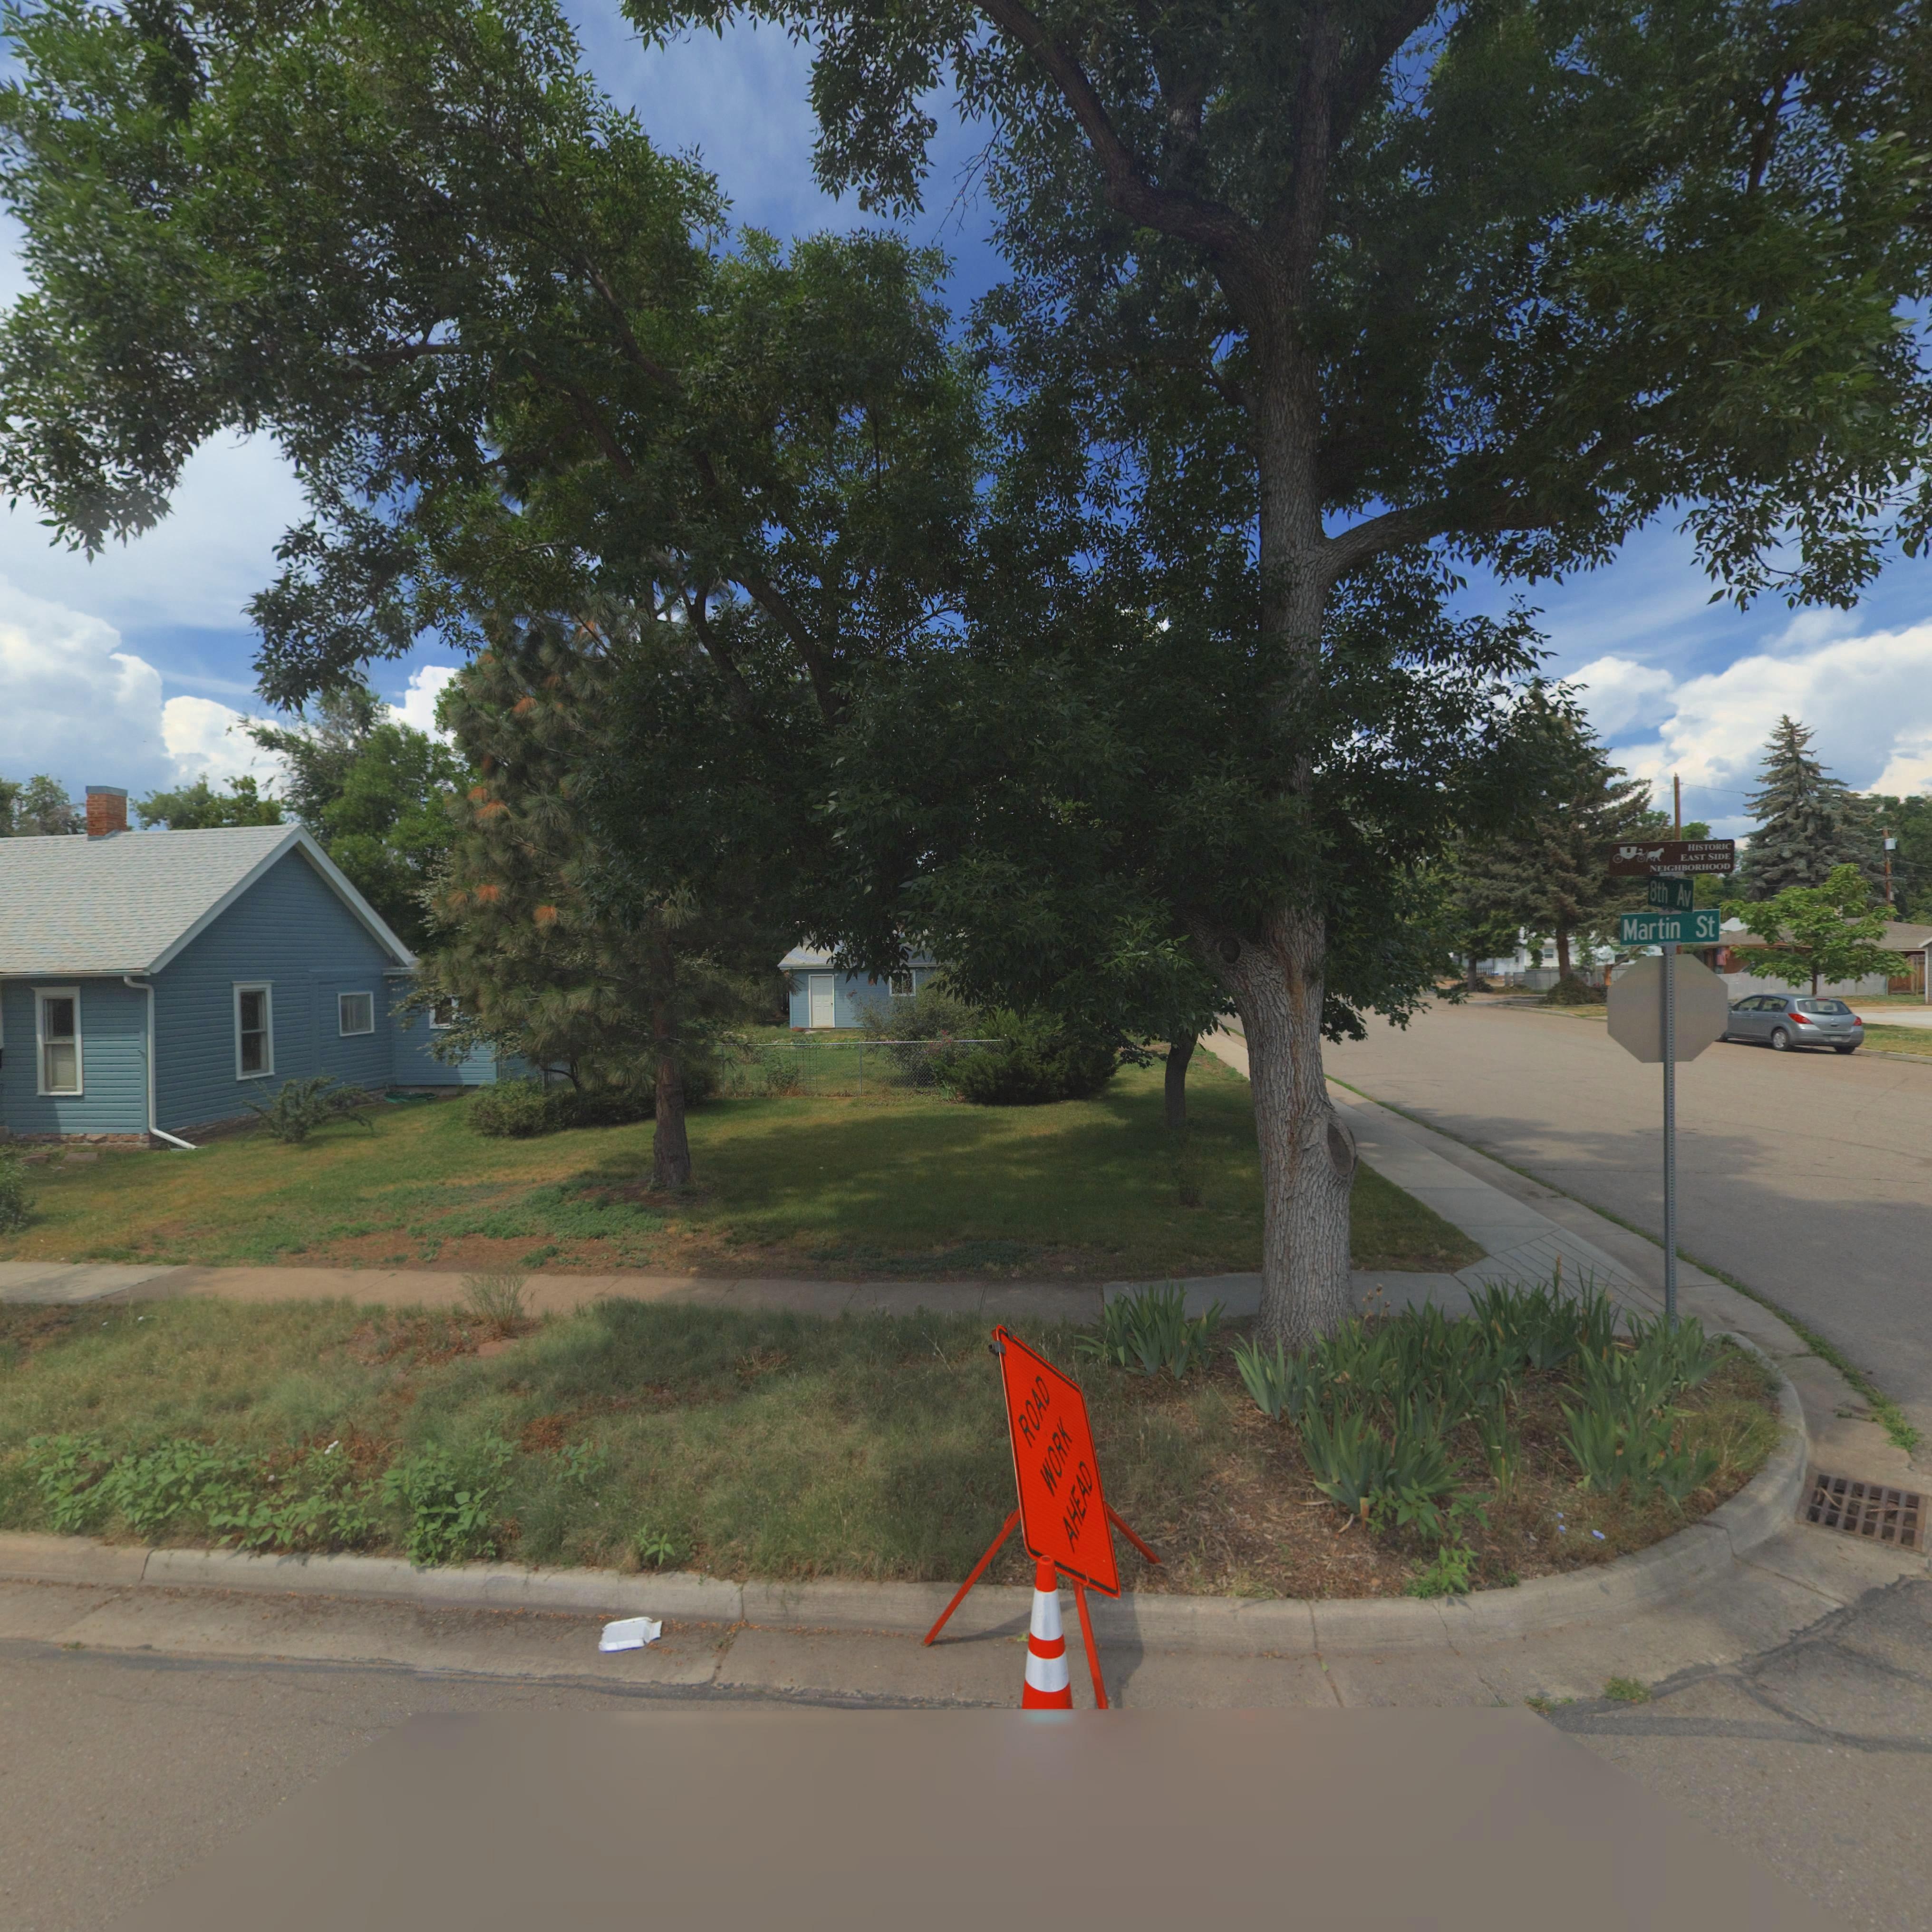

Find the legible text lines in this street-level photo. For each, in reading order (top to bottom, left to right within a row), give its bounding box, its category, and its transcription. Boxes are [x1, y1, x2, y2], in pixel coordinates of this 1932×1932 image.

[1648, 879, 1692, 908] StreetName: 8th Av
[1622, 914, 1716, 940] StreetName: Martin St